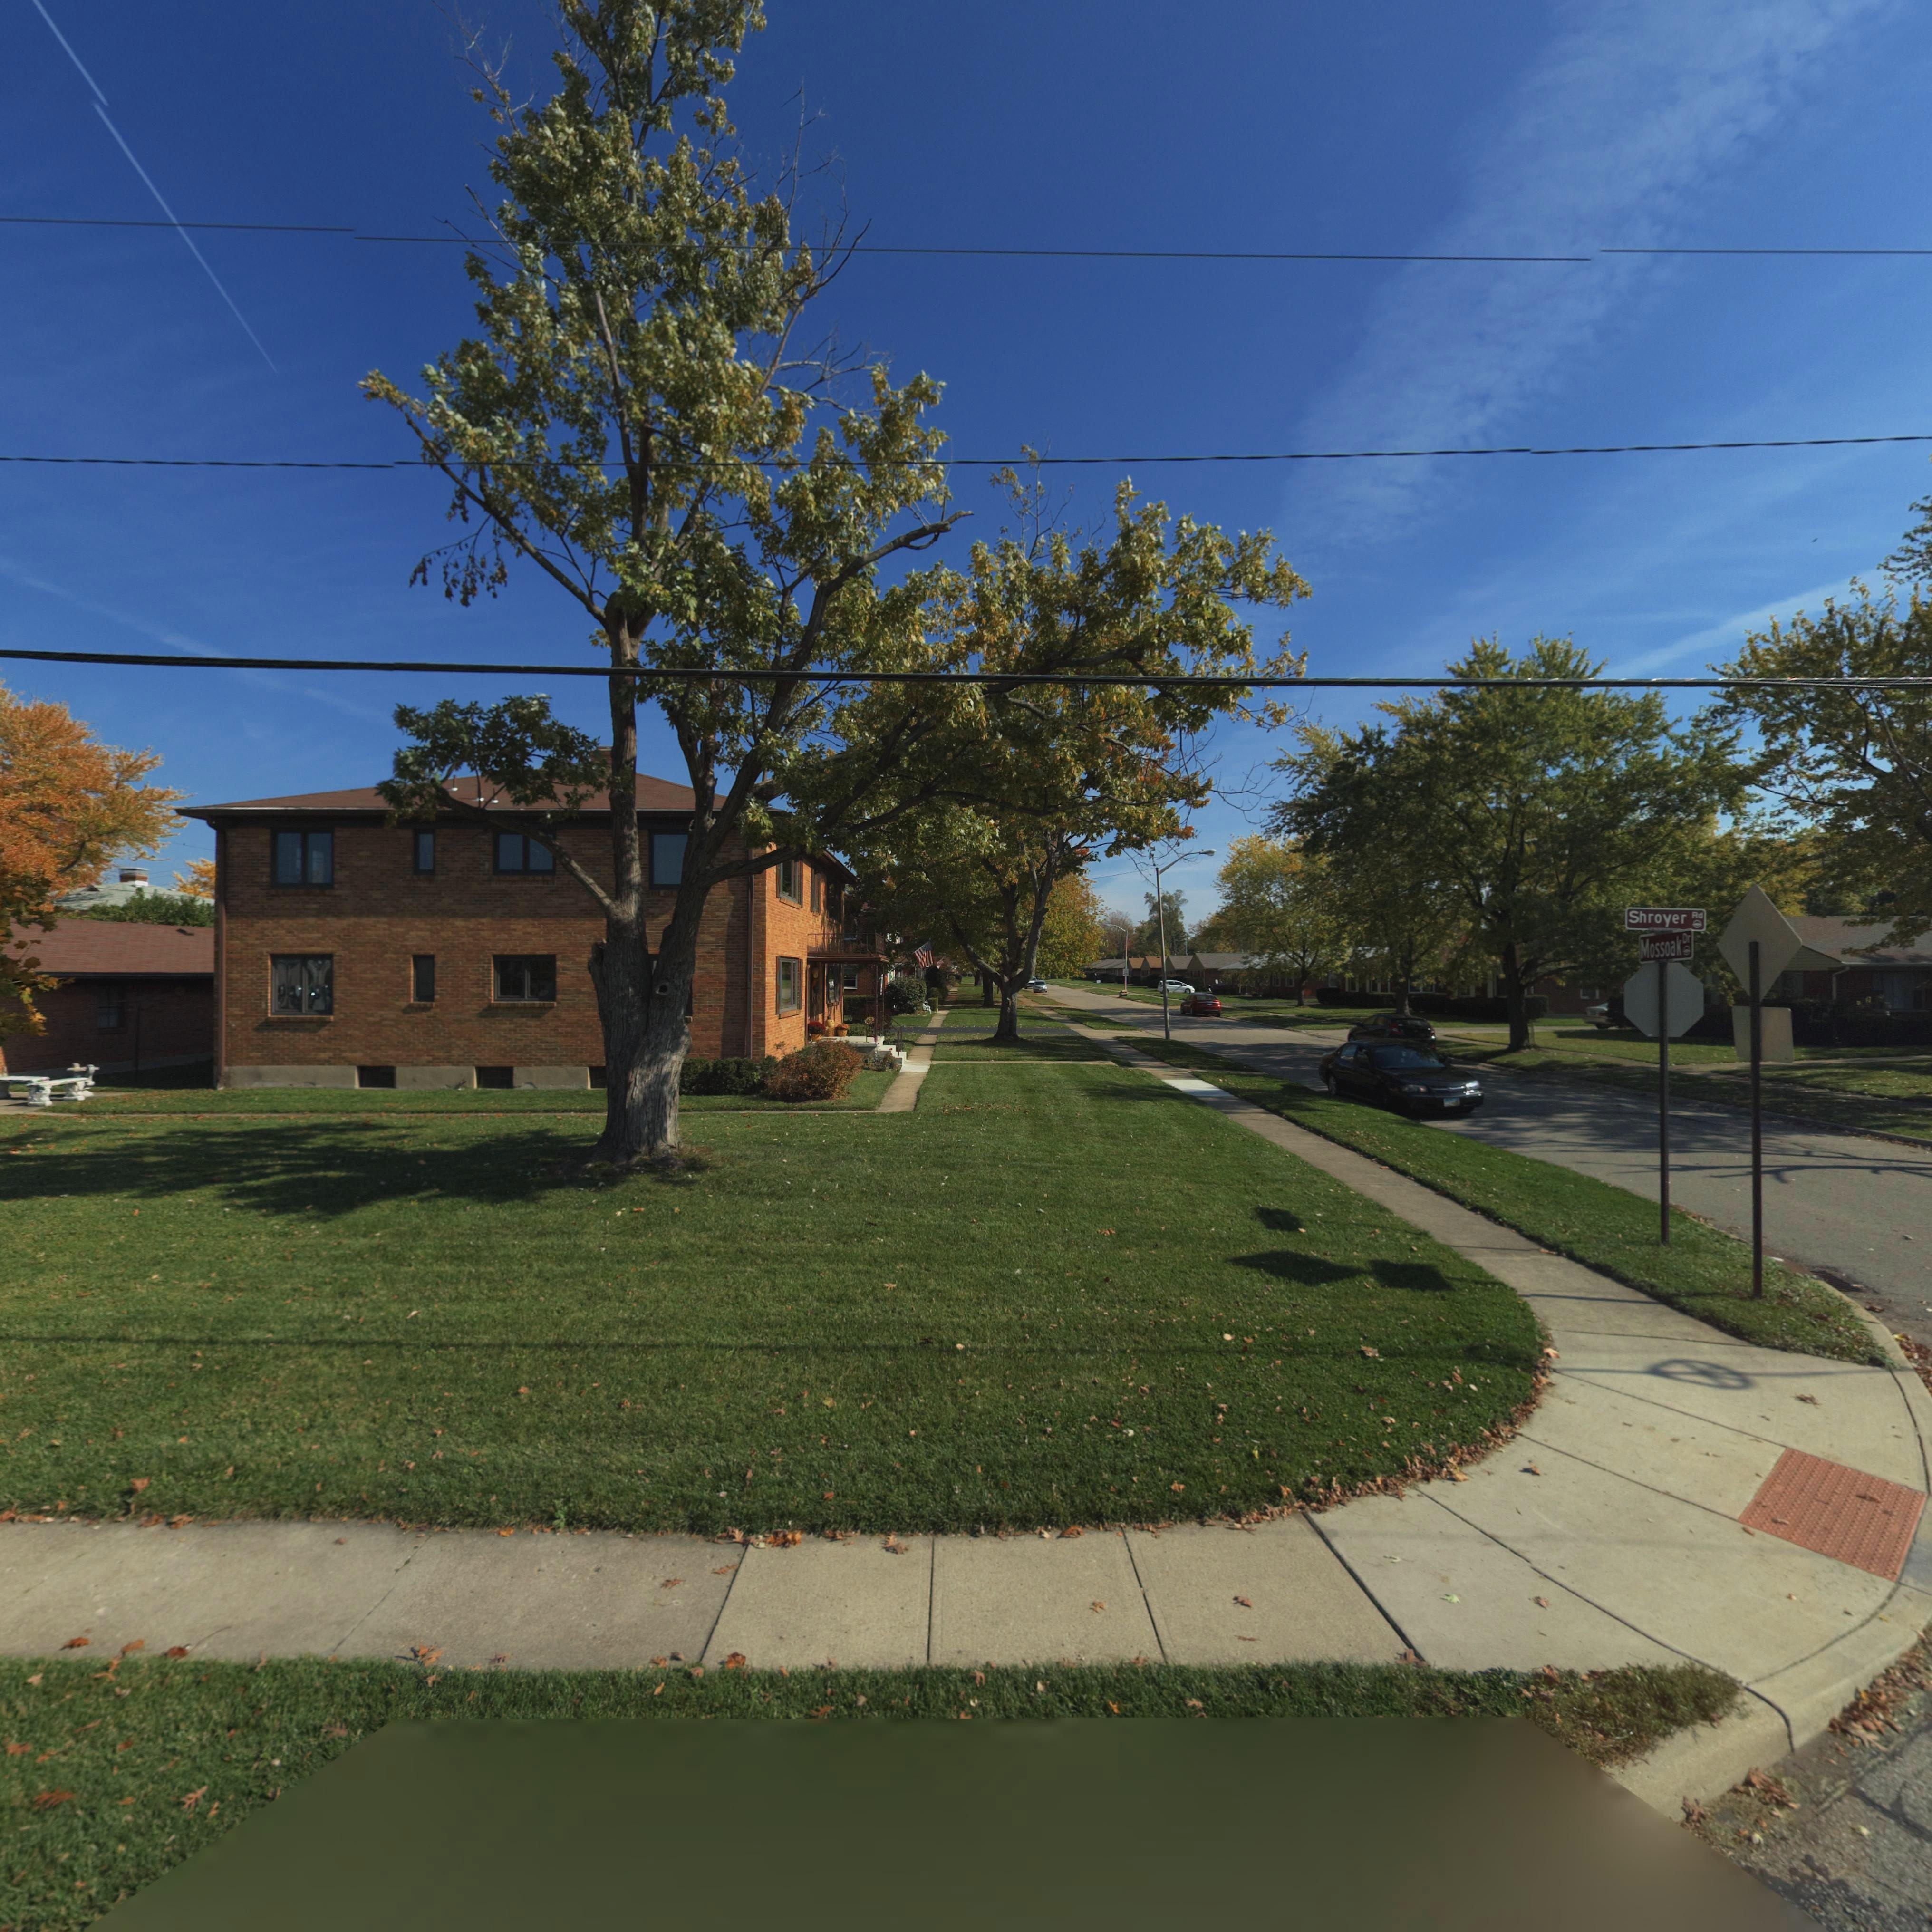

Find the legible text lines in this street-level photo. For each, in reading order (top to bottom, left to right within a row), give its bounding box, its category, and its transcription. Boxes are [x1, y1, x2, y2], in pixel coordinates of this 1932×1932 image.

[1627, 909, 1703, 928] StreetName: Shroyer Rd
[1640, 932, 1691, 960] StreetName: Mossoak Dr